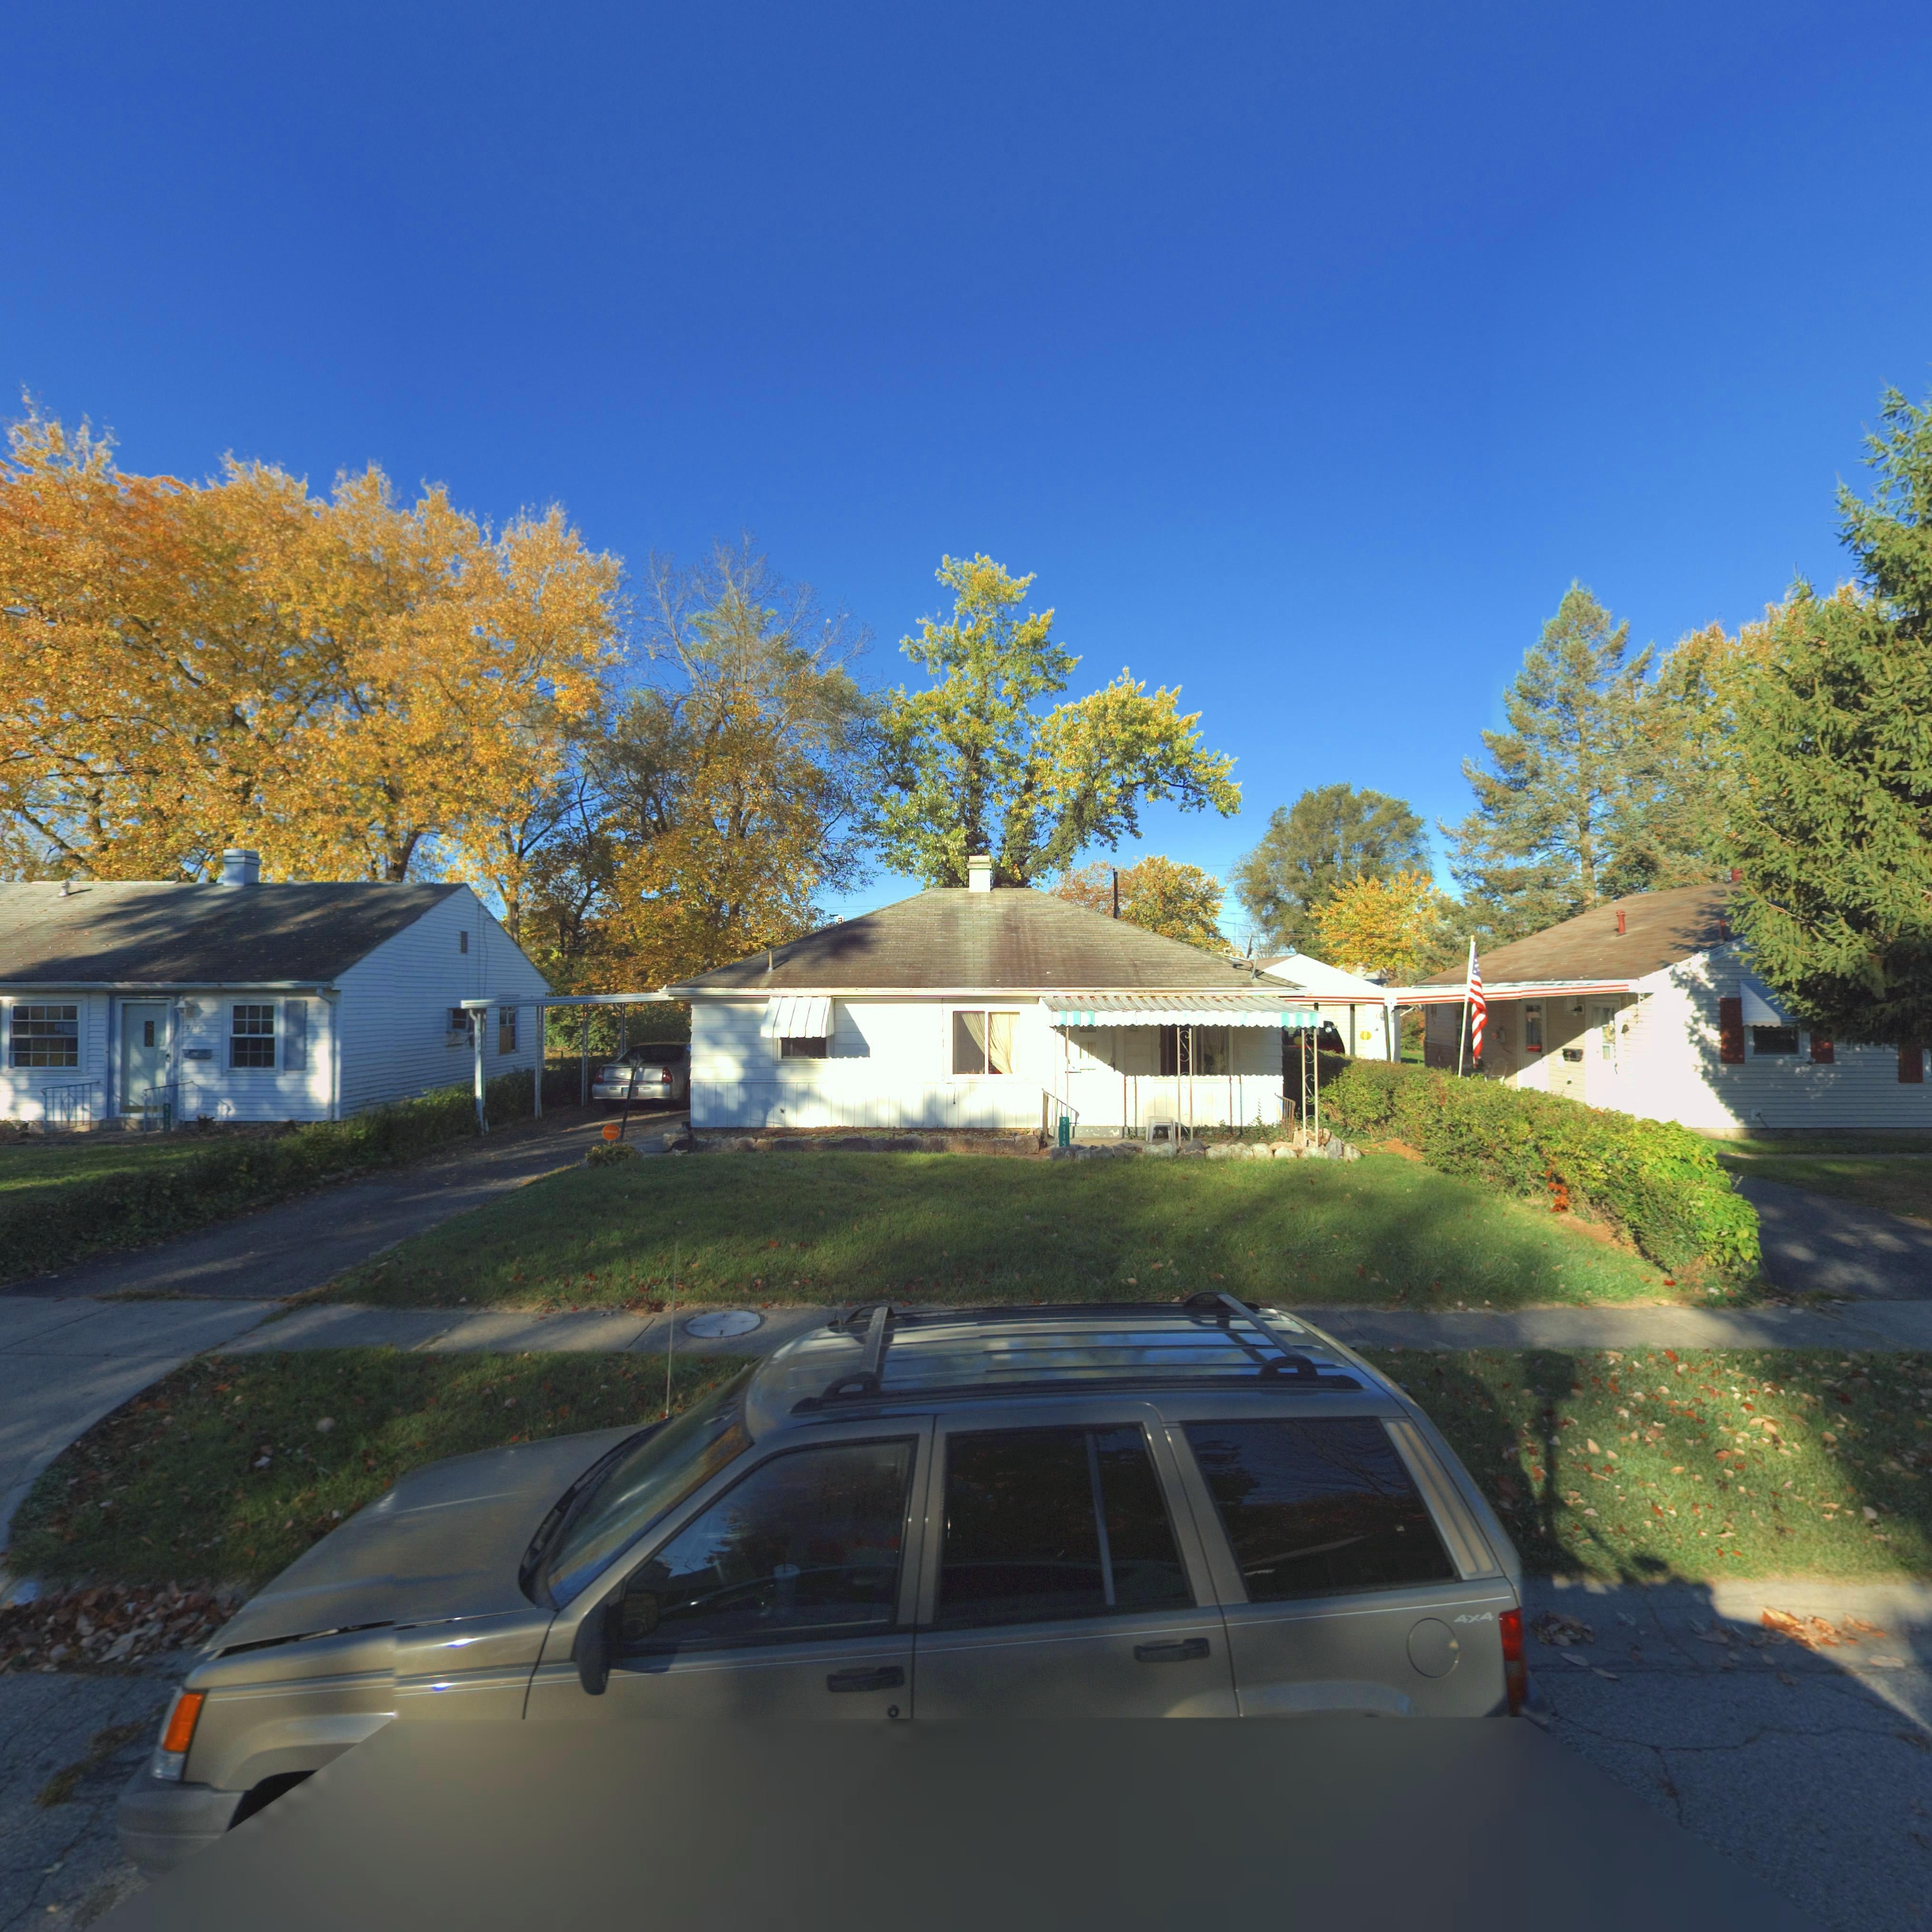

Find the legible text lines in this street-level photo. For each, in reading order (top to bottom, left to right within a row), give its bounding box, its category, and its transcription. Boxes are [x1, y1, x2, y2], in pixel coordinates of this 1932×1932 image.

[164, 1104, 169, 1130] StreetNumber: 5117
[1062, 1118, 1066, 1147] StreetNumber: 5115